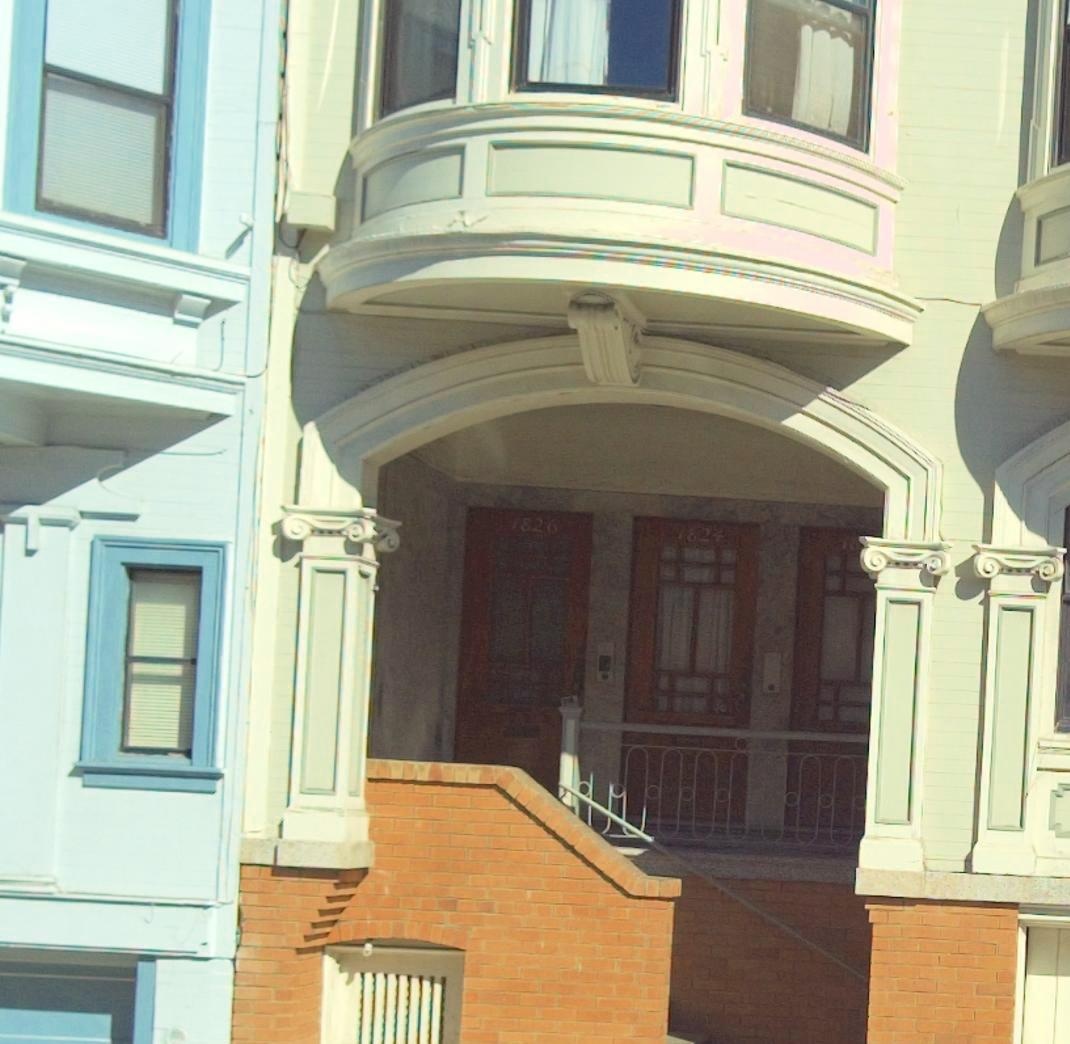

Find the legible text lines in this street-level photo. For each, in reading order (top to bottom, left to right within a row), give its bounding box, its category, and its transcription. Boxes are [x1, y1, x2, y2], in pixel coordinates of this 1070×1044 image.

[507, 514, 560, 536] StreetNumber: 1826
[675, 524, 727, 544] StreetNumber: 1824
[839, 533, 851, 551] StreetNumber: 1